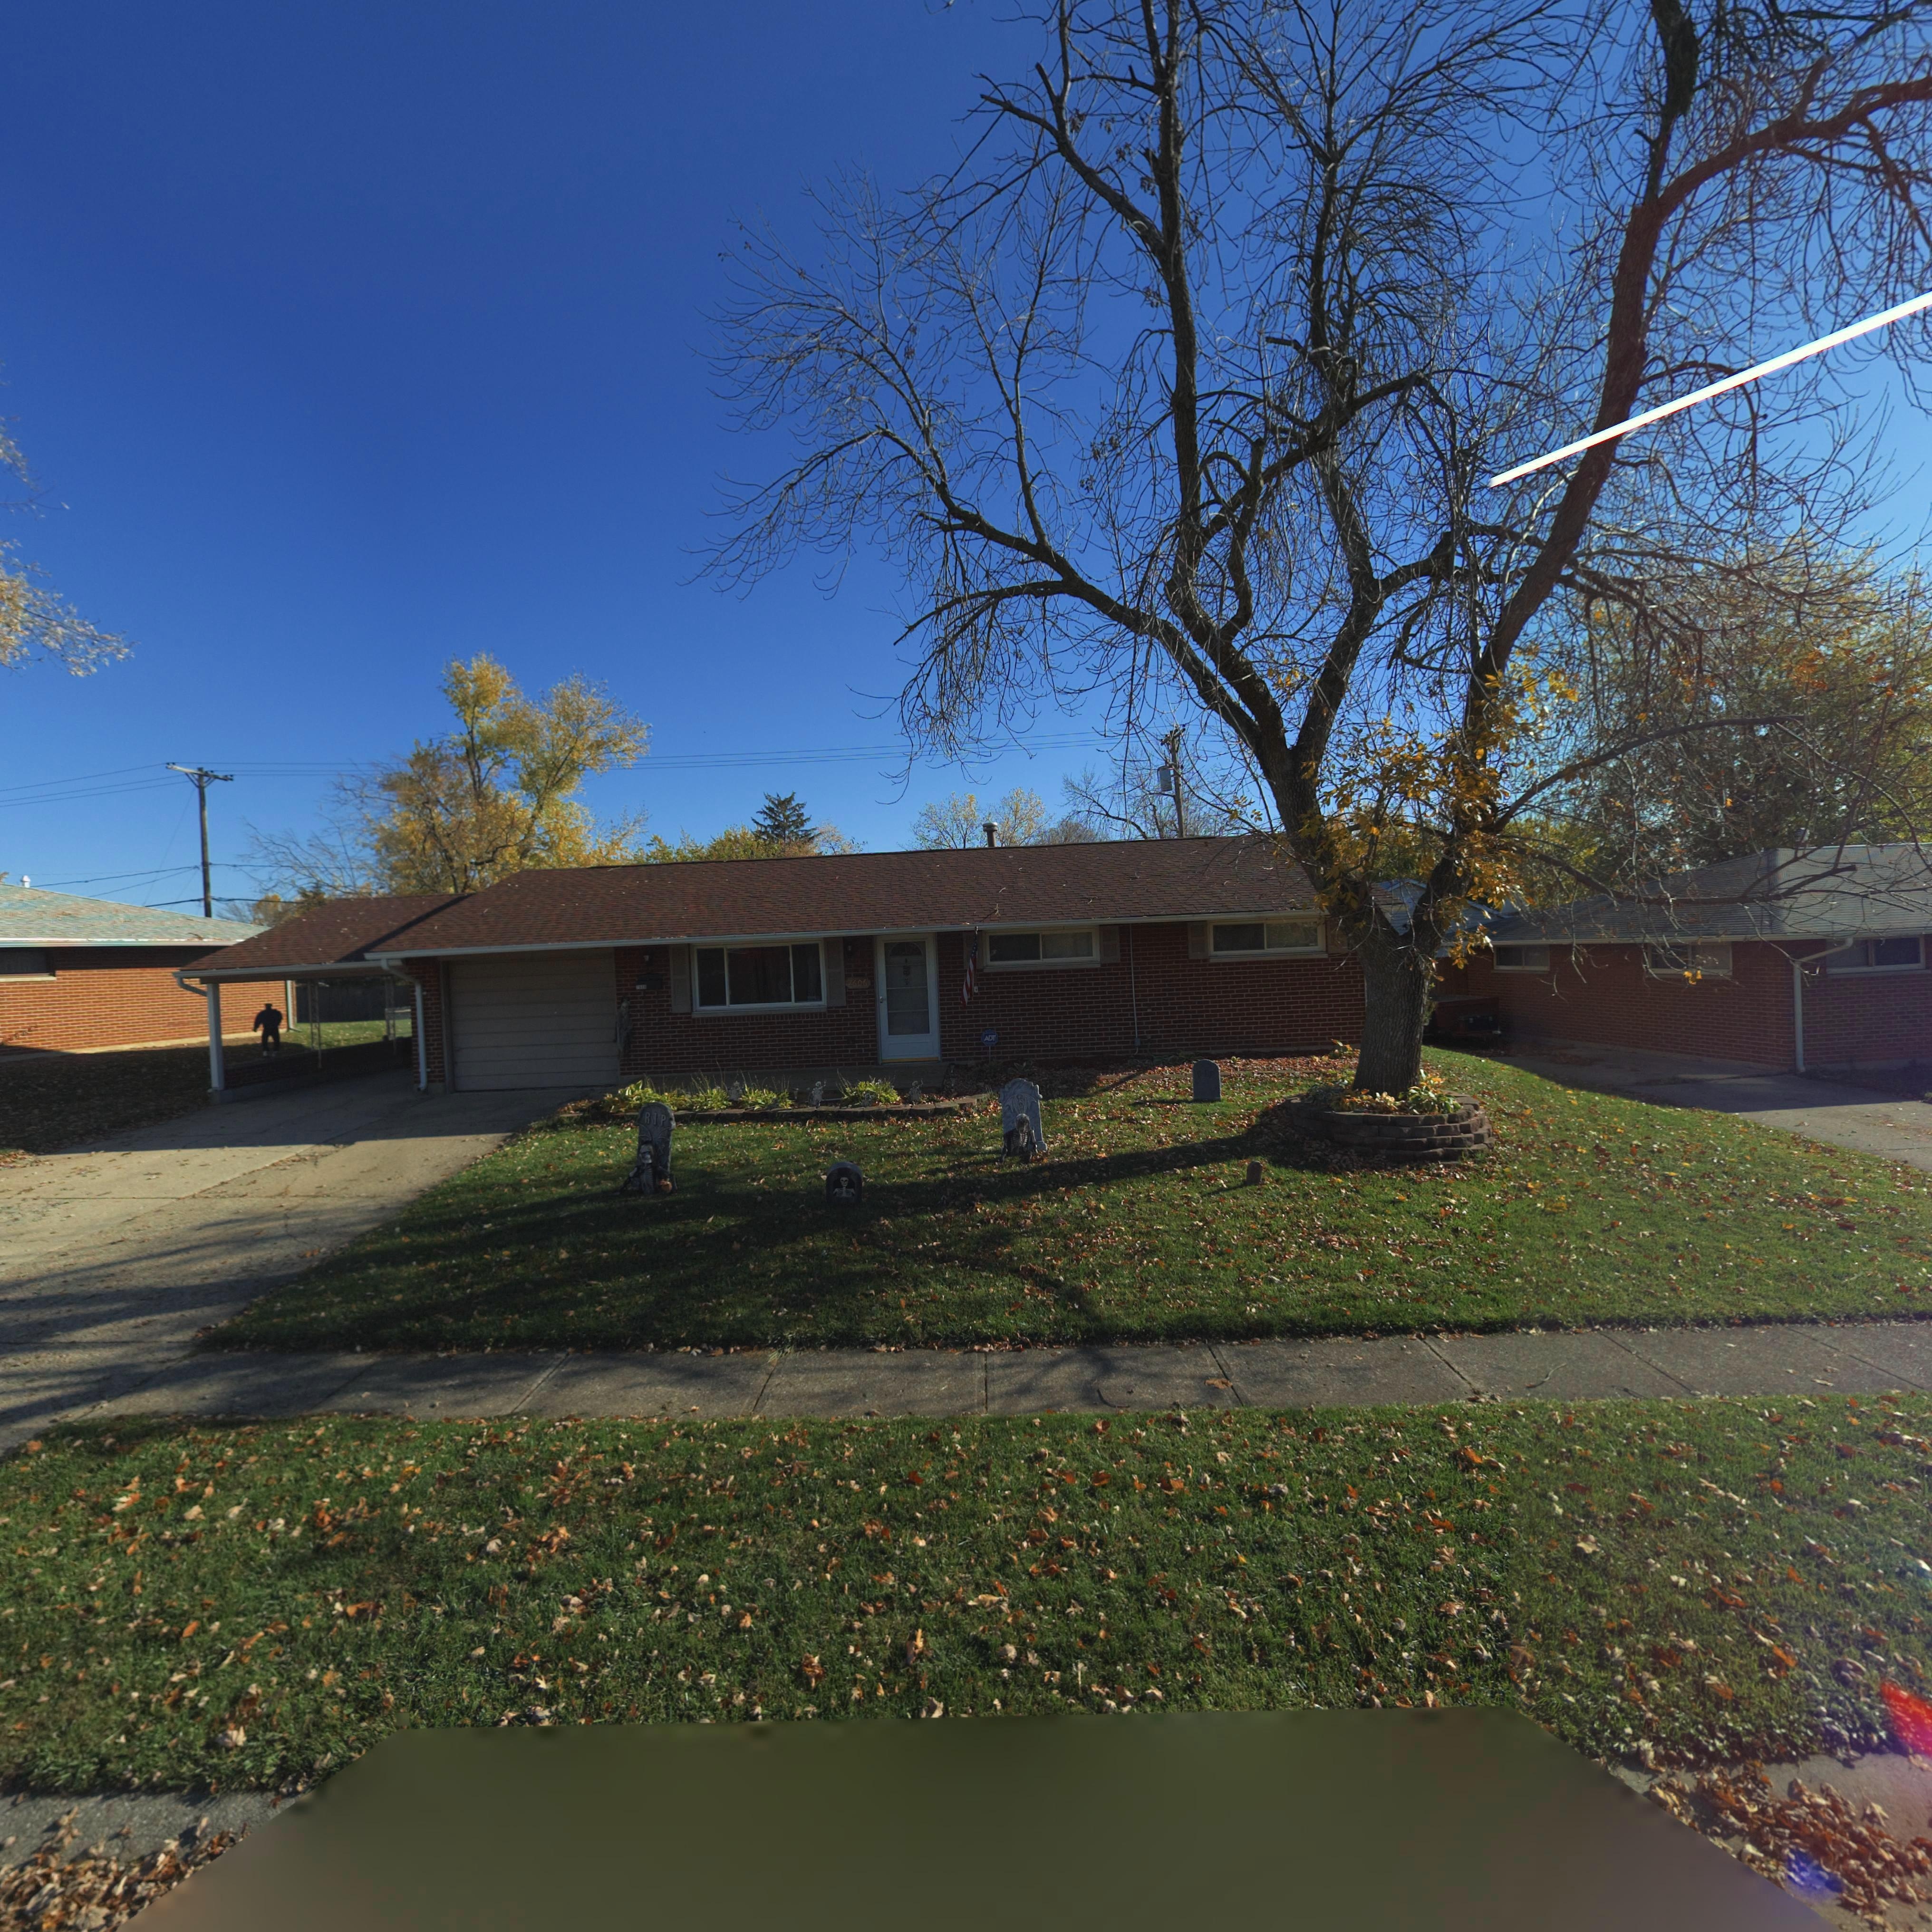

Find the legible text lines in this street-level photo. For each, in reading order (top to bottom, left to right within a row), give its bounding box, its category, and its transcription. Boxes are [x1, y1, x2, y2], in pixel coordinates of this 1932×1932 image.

[847, 978, 869, 988] StreetNumber: *606